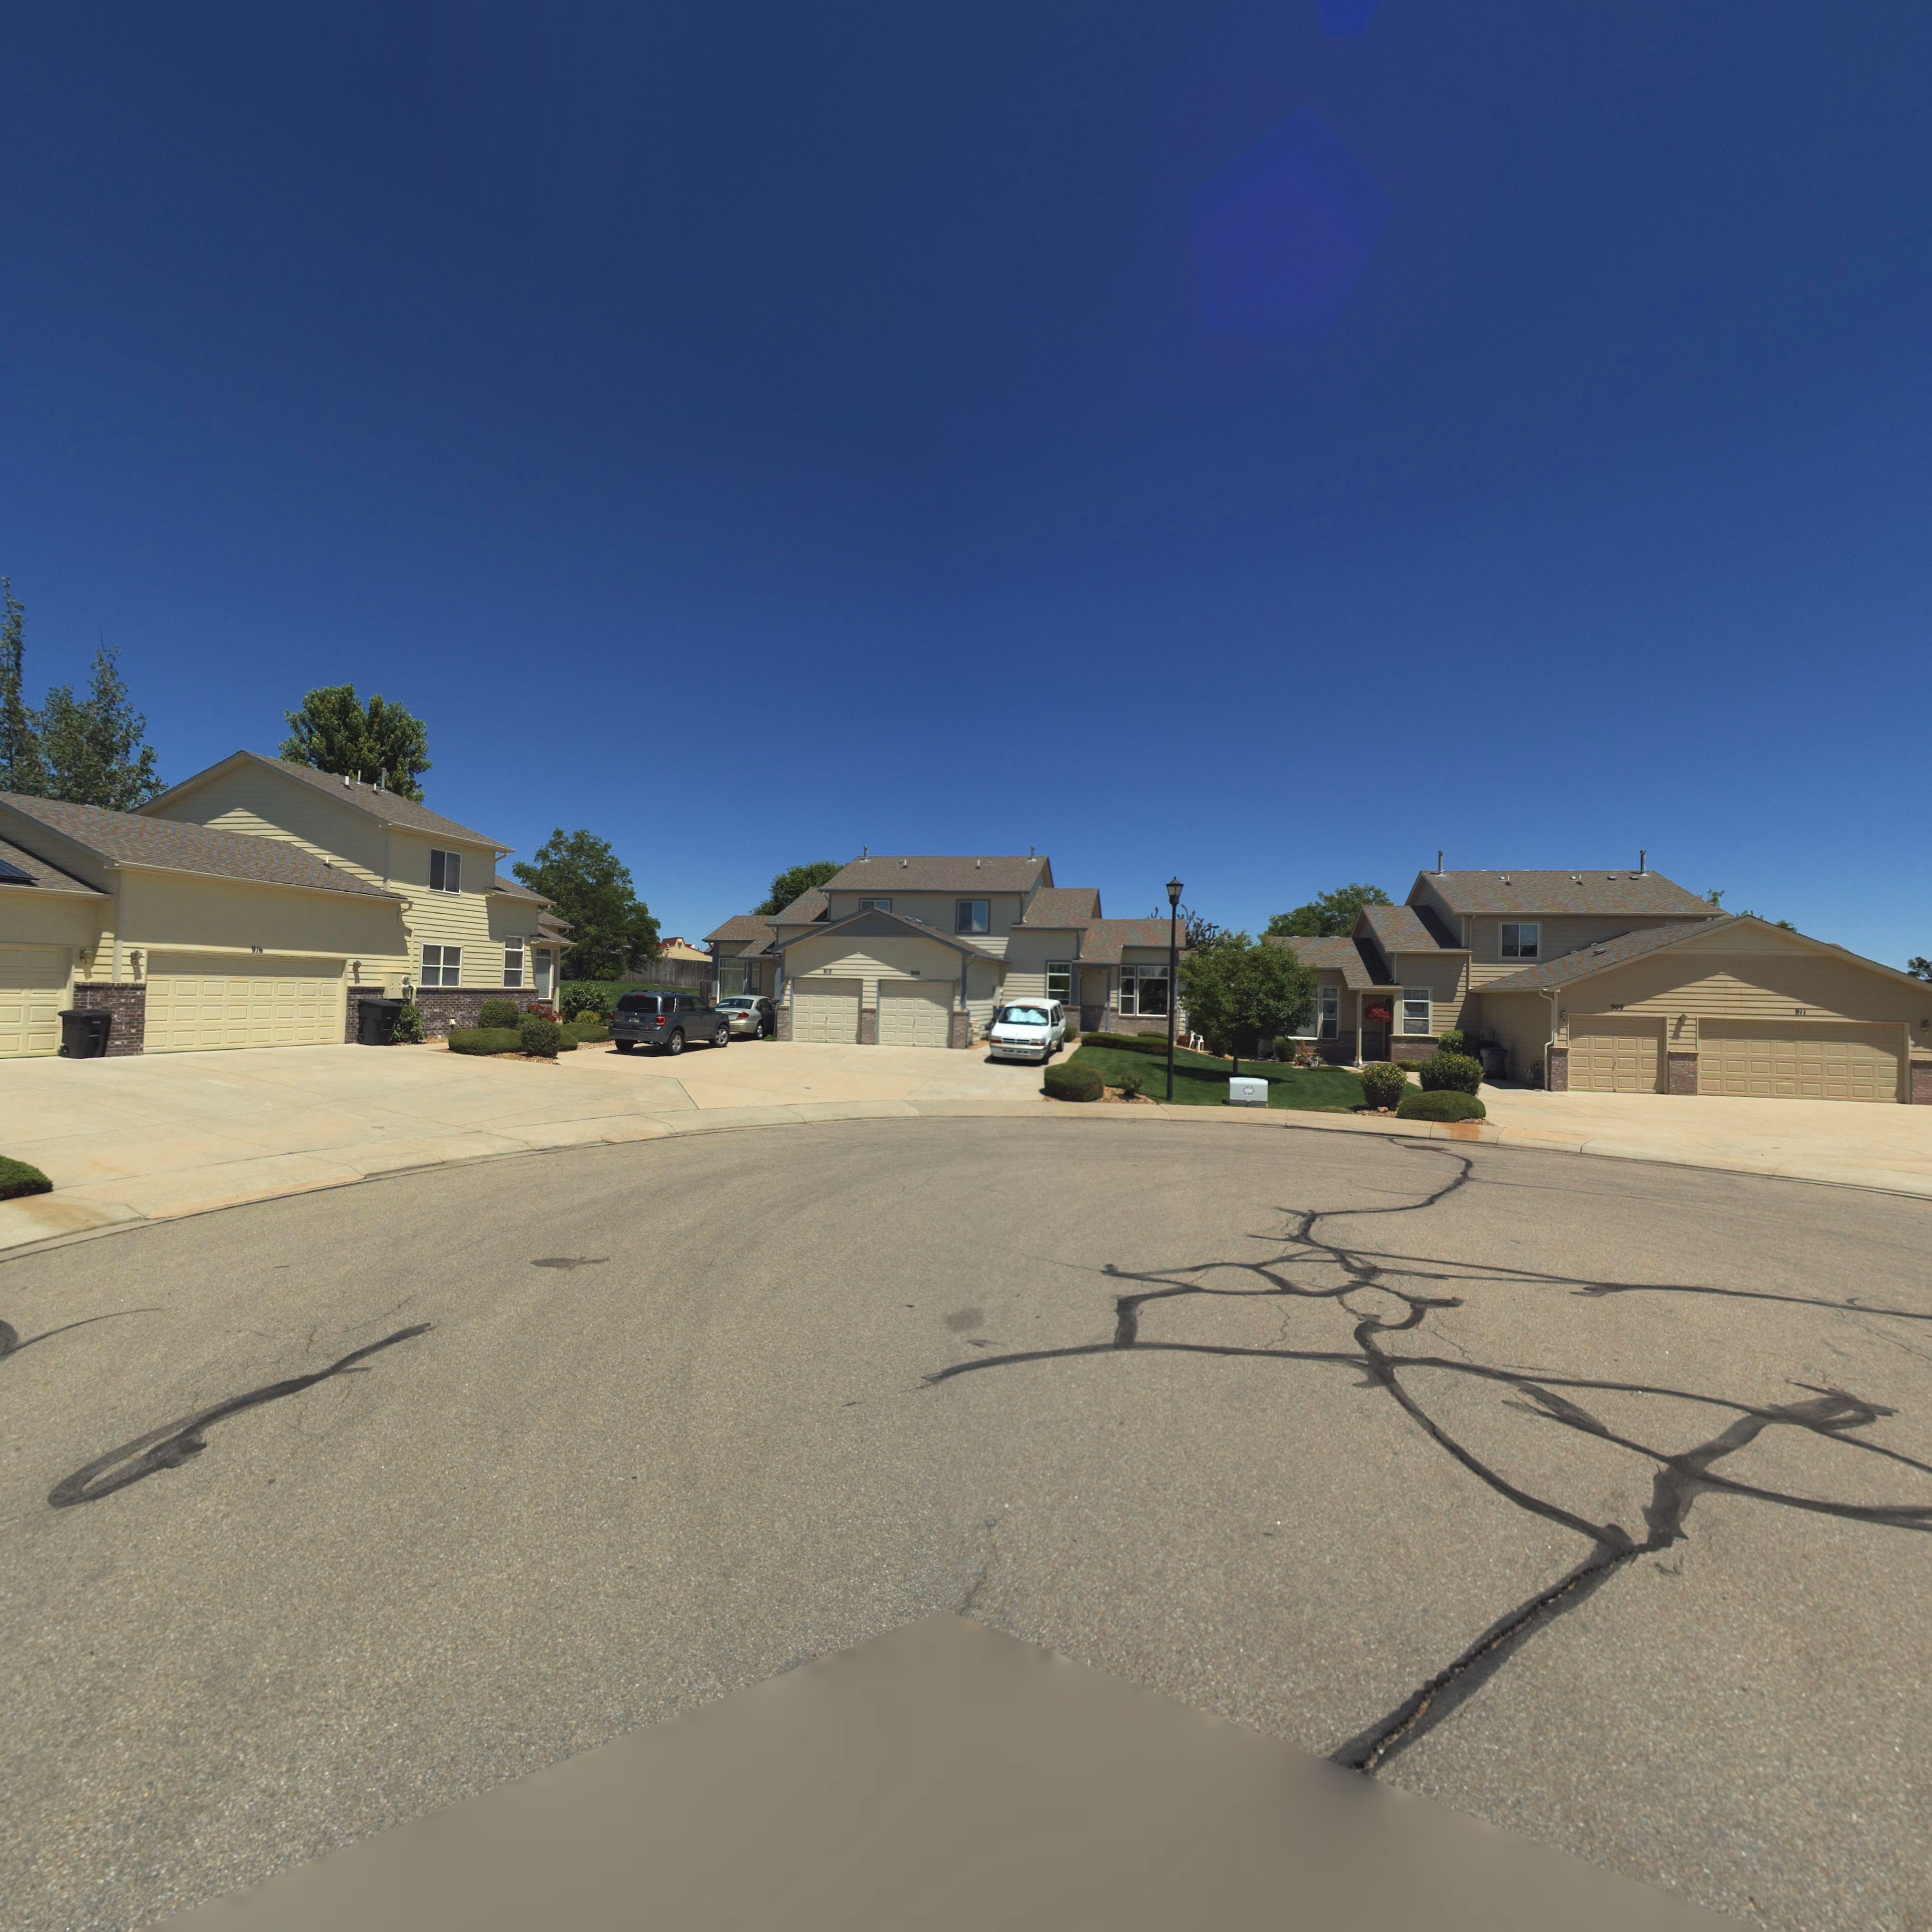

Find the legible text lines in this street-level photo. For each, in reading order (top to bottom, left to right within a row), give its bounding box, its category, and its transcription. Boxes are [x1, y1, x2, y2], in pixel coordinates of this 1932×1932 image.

[251, 945, 263, 953] StreetNumber: 91*
[823, 968, 832, 974] StreetNumber: *10
[910, 970, 920, 976] StreetNumber: 908
[1610, 1003, 1624, 1010] StreetNumber: 909
[1795, 1007, 1807, 1015] StreetNumber: 911